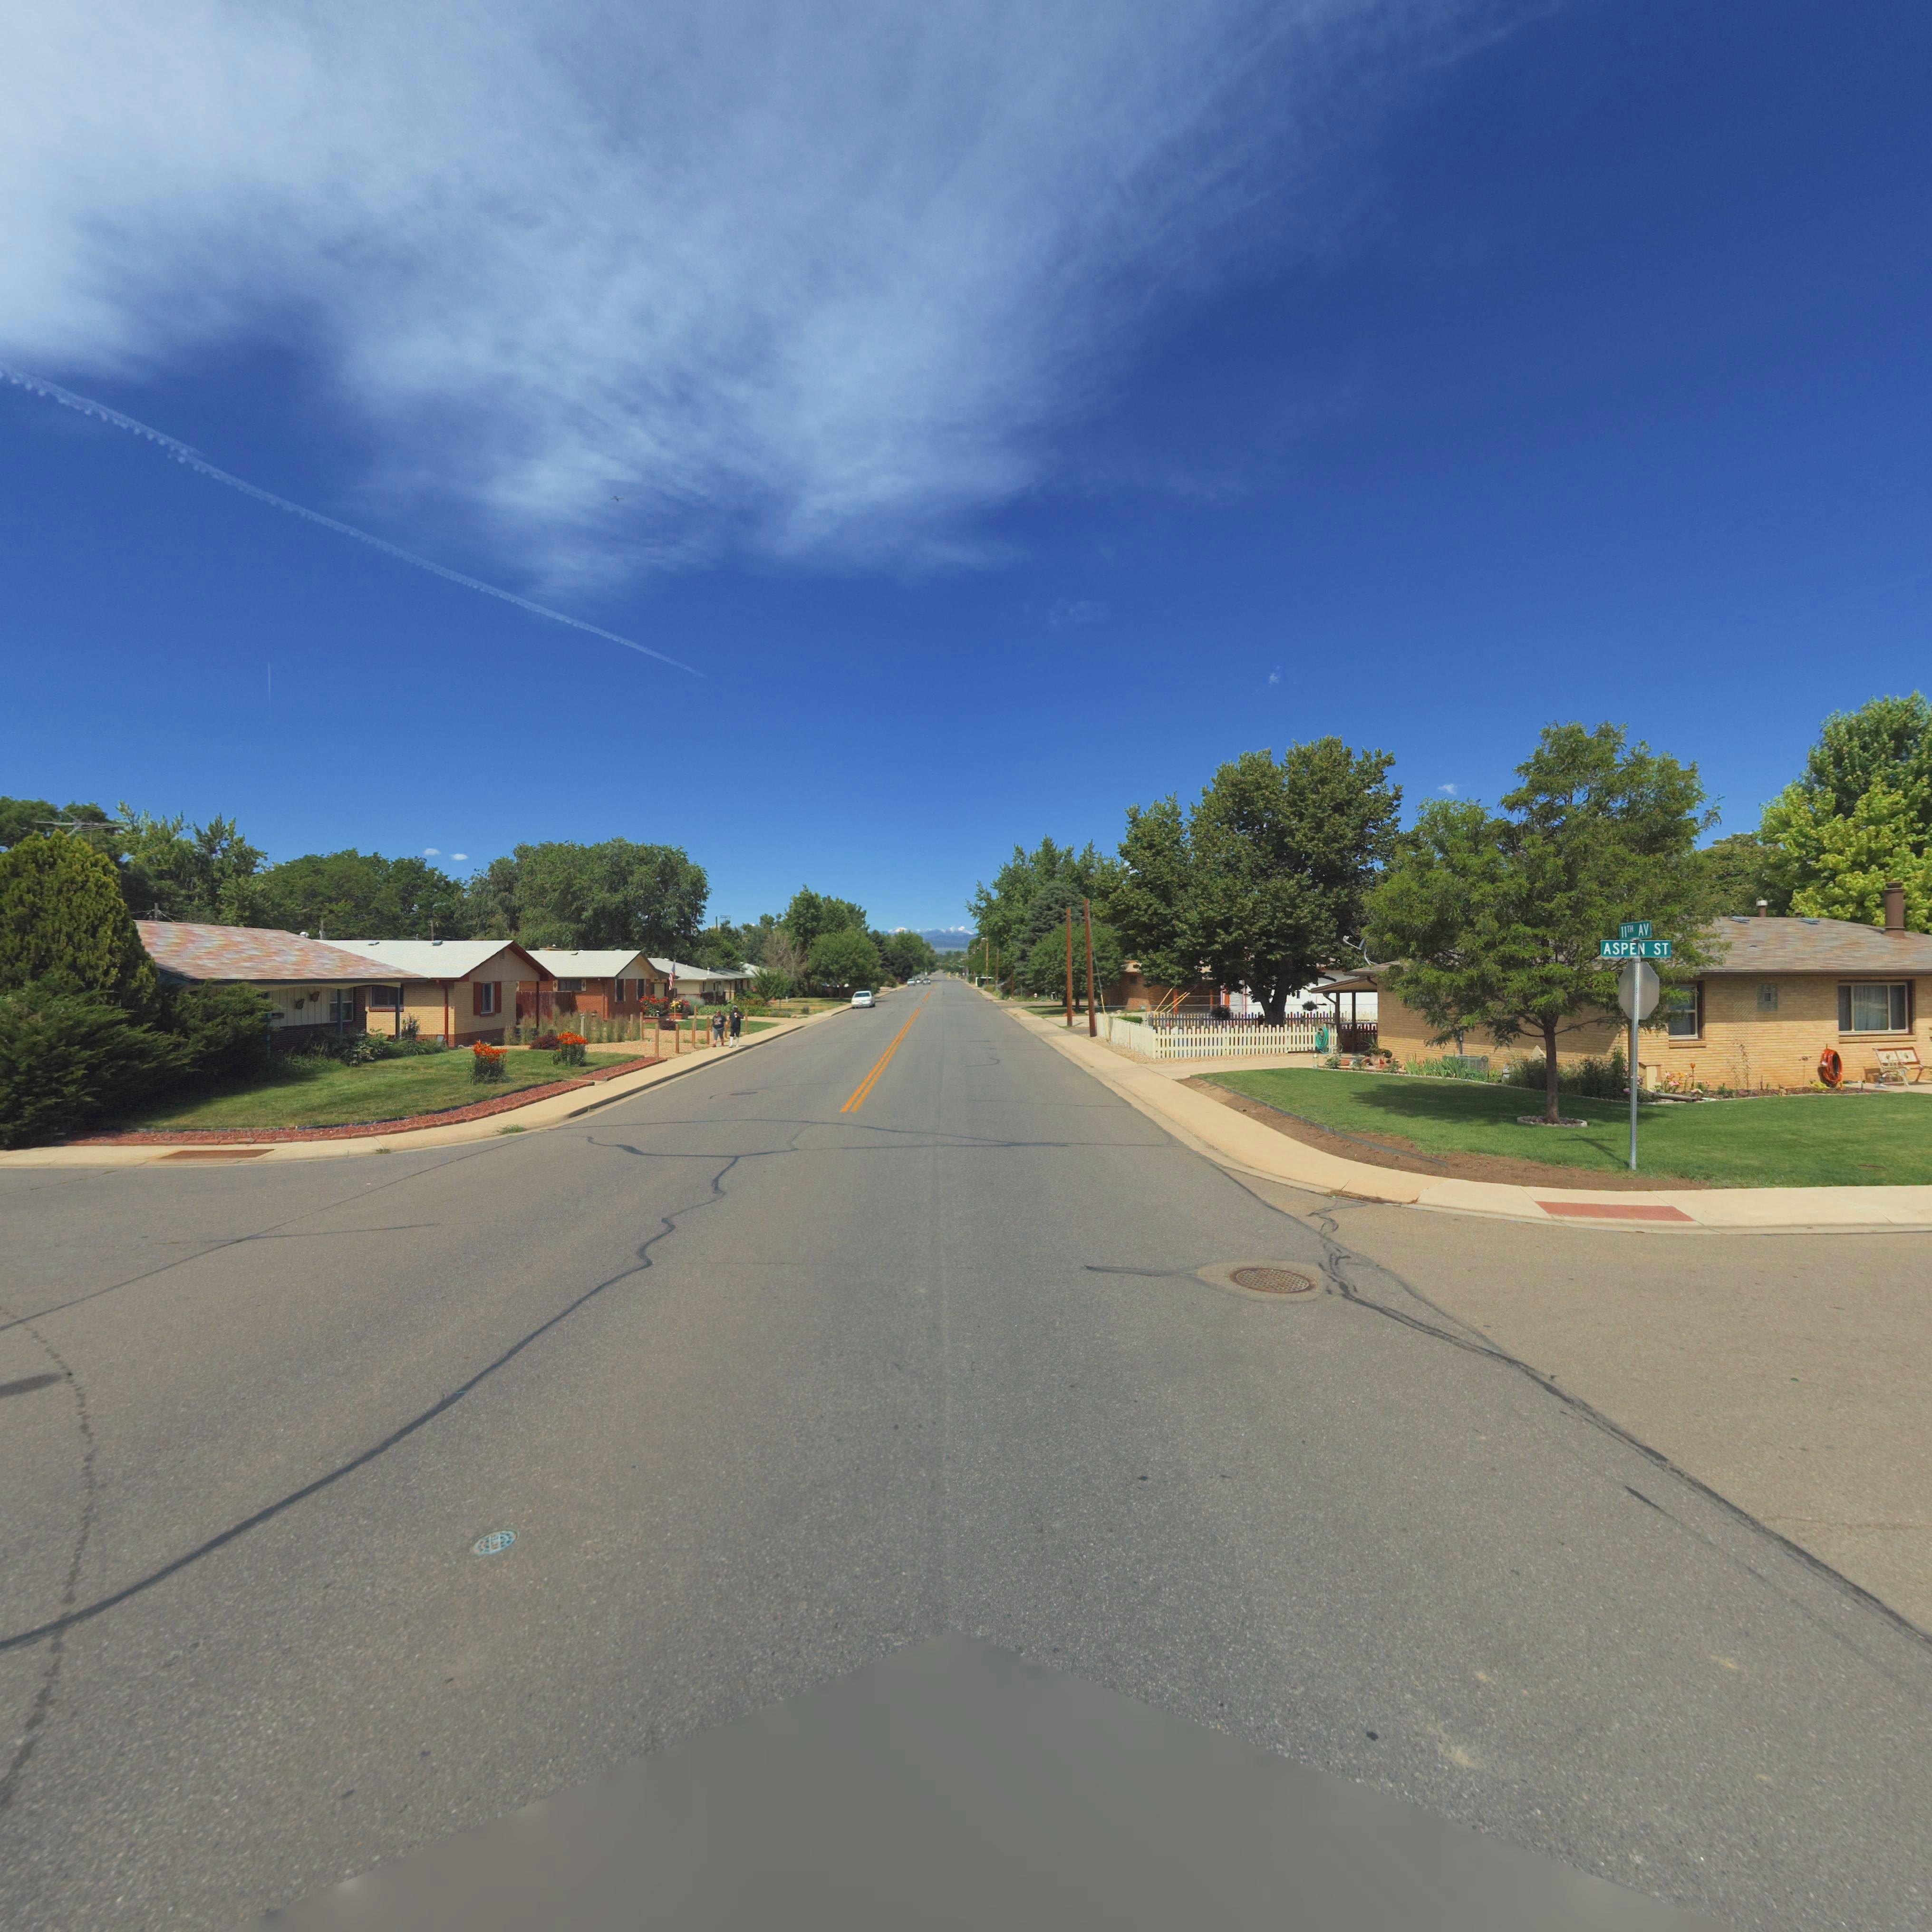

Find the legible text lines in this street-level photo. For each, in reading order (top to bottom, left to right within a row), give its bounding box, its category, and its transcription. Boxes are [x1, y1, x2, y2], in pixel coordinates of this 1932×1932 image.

[1620, 922, 1649, 937] StreetName: 11TH AV
[1603, 942, 1669, 955] StreetName: ASPEN ST